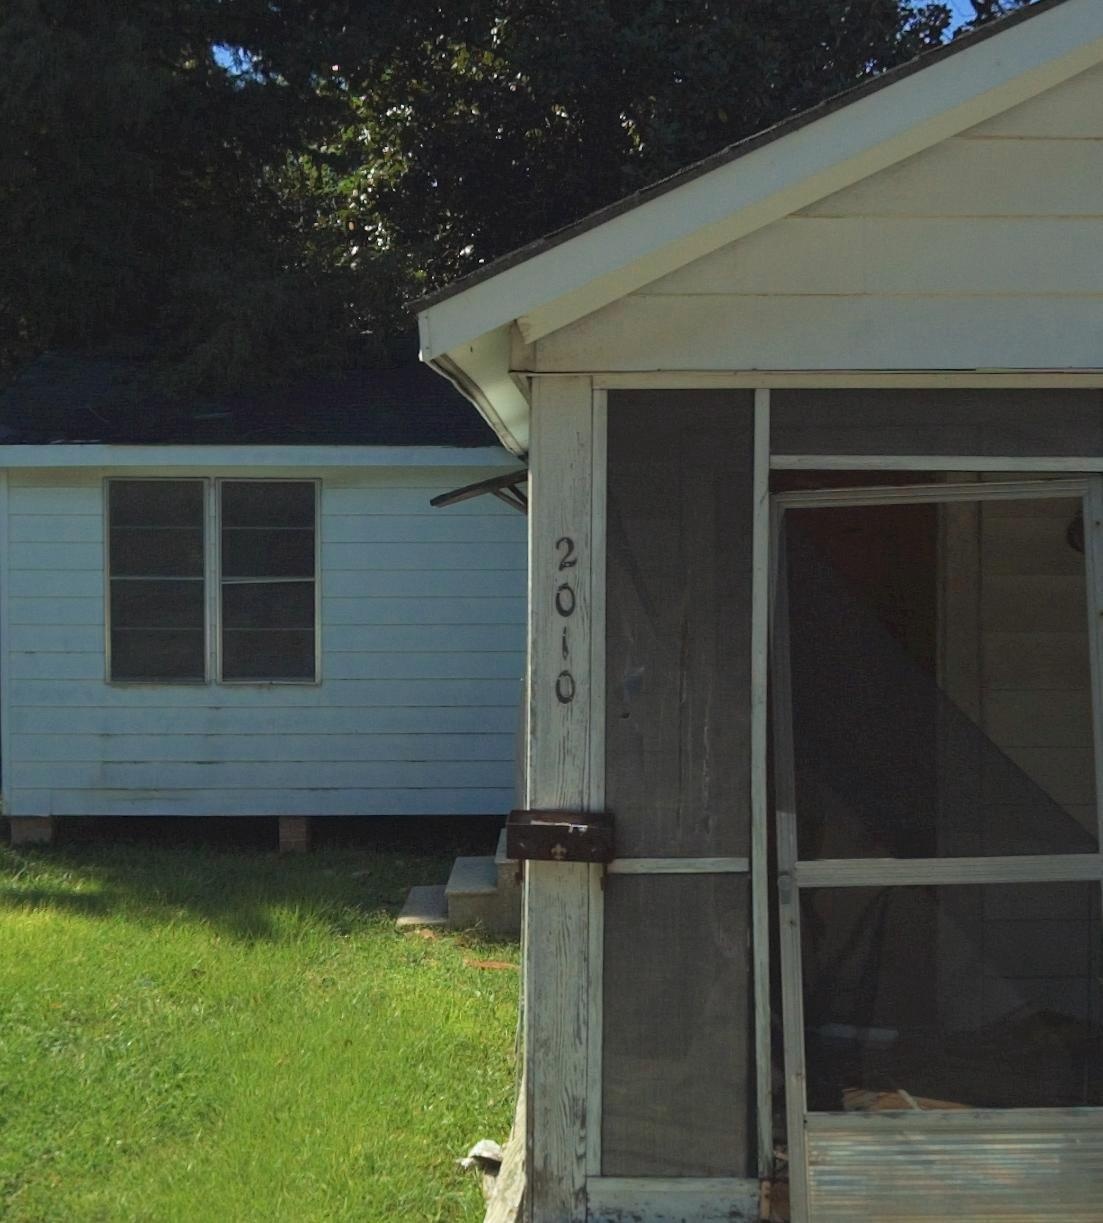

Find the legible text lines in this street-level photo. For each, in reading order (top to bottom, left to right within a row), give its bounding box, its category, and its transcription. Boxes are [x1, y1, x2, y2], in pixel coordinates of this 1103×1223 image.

[552, 534, 579, 707] StreetNumber: 2010